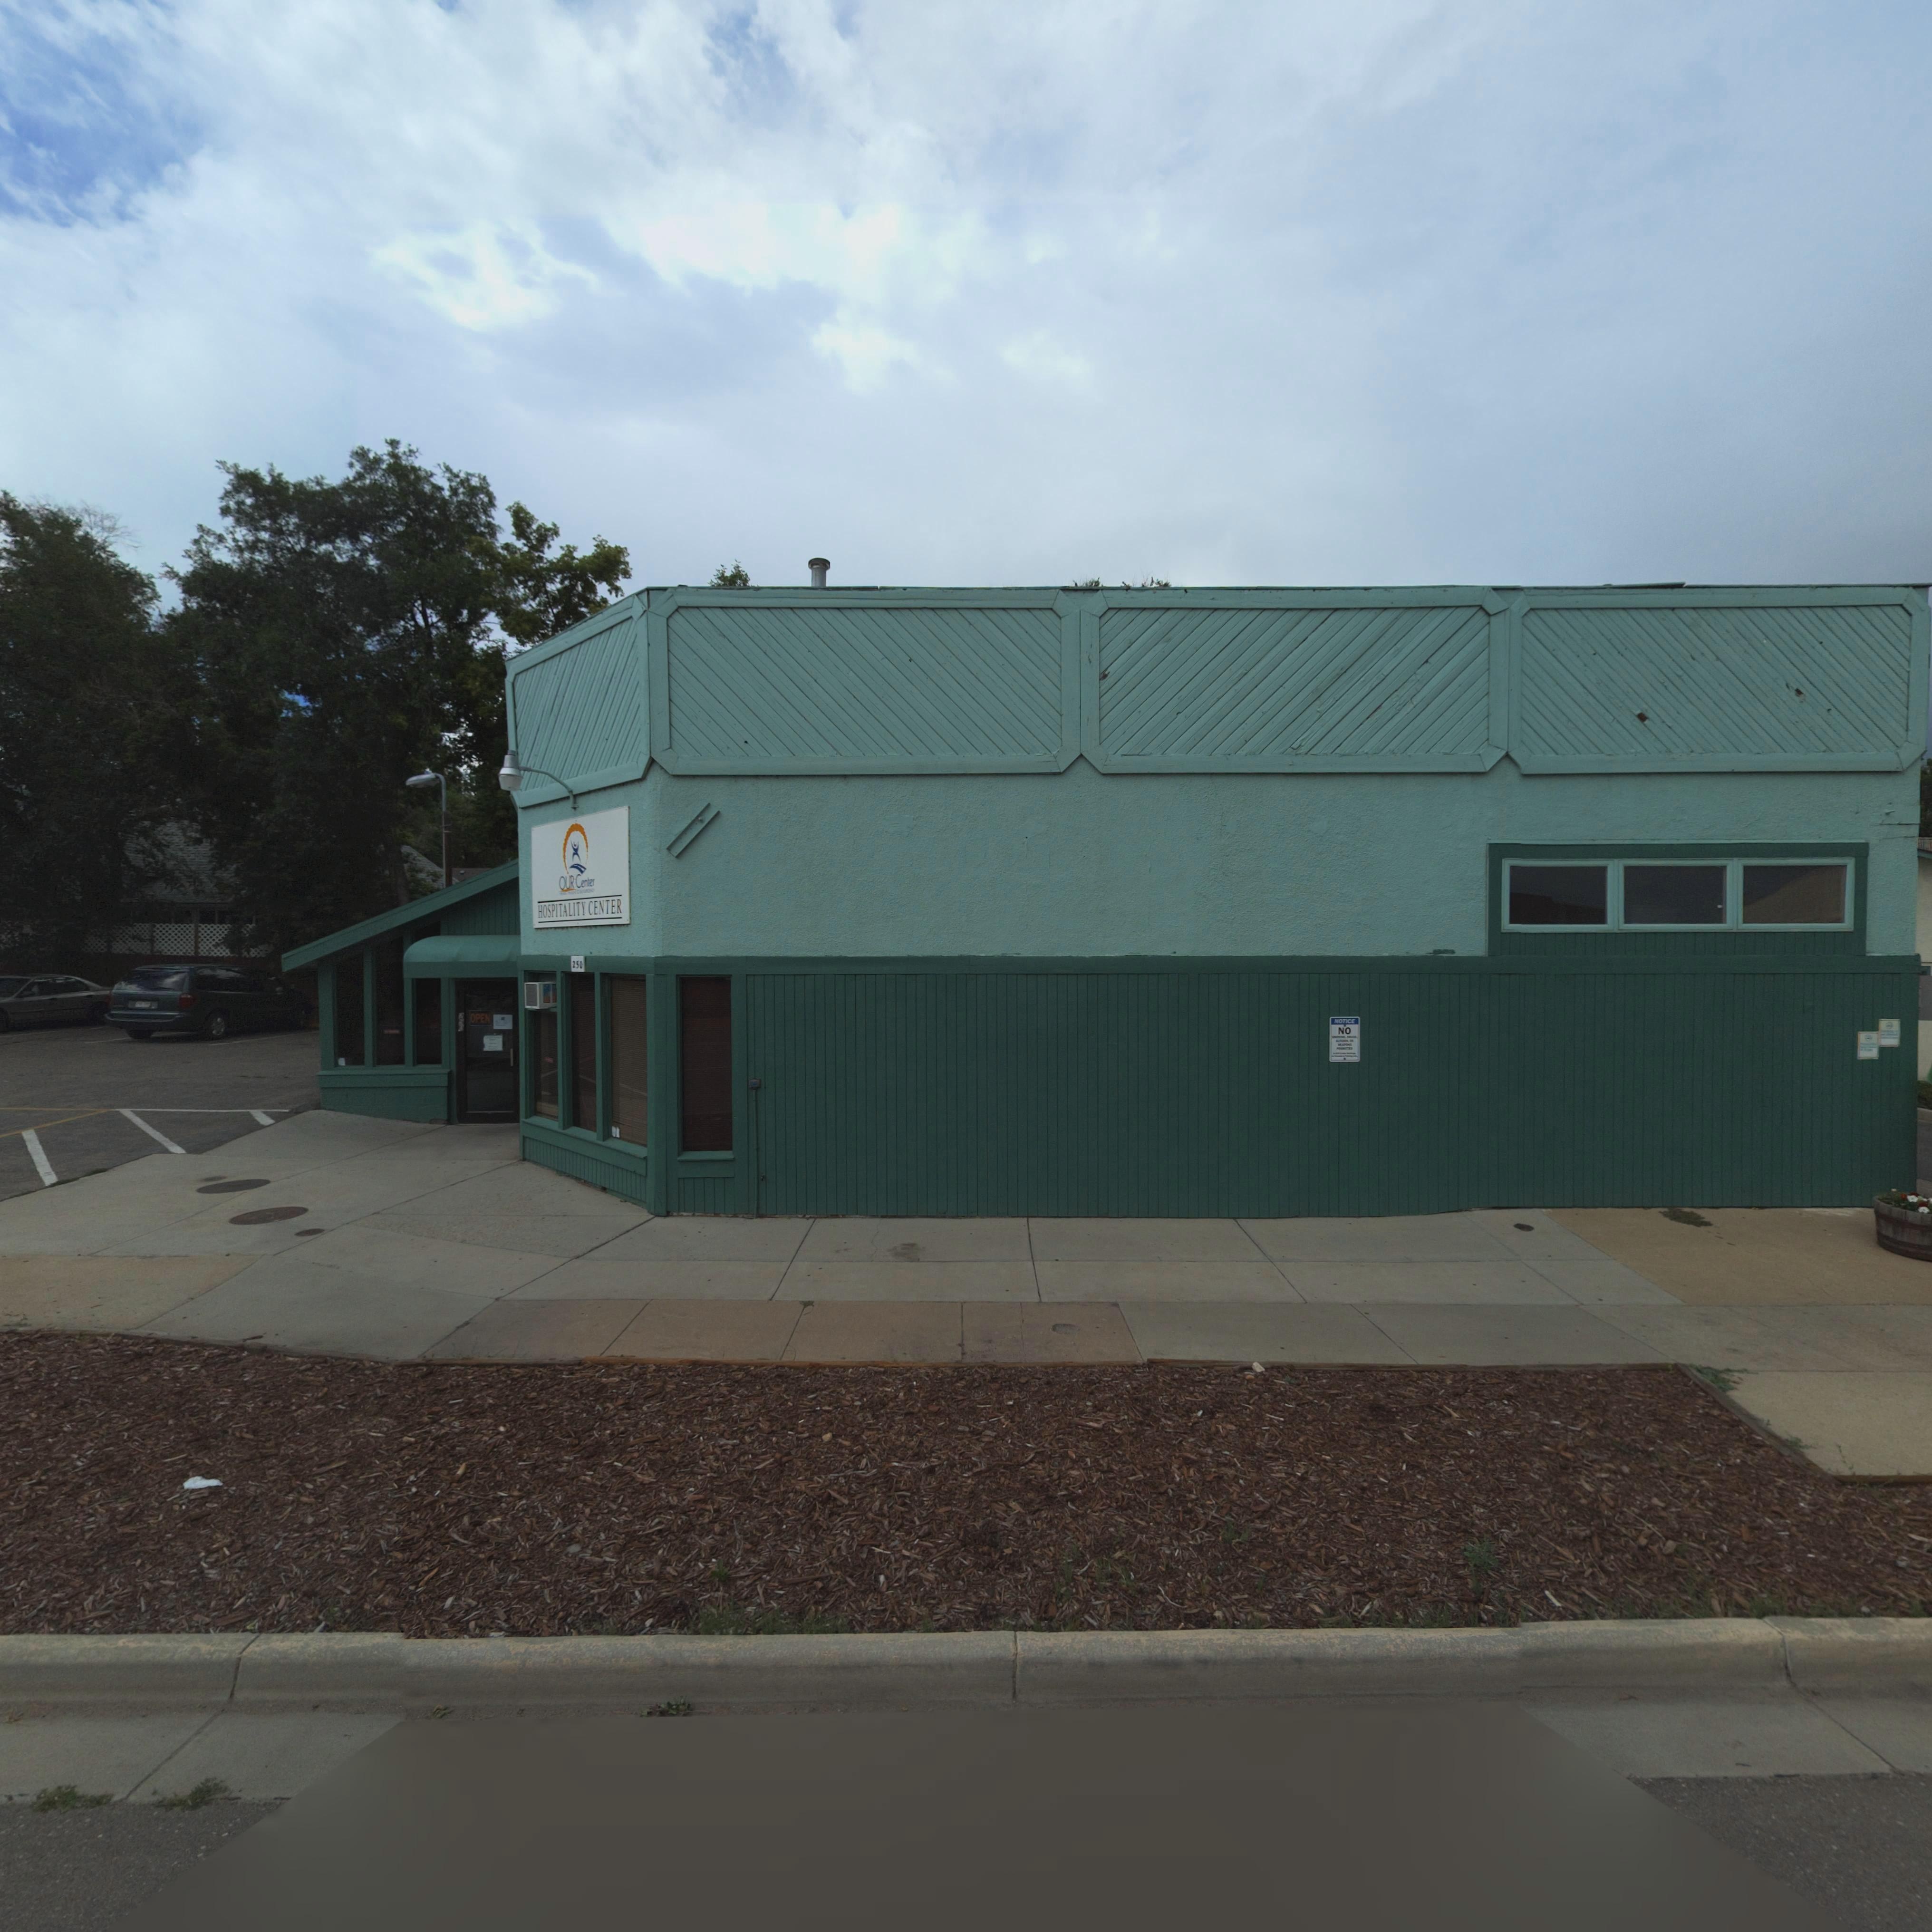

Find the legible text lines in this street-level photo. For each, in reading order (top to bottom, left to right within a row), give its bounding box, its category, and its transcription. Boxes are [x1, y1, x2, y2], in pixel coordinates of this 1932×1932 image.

[559, 873, 595, 890] BusinessName: OUT Center
[572, 960, 583, 969] StreetNumber: 250